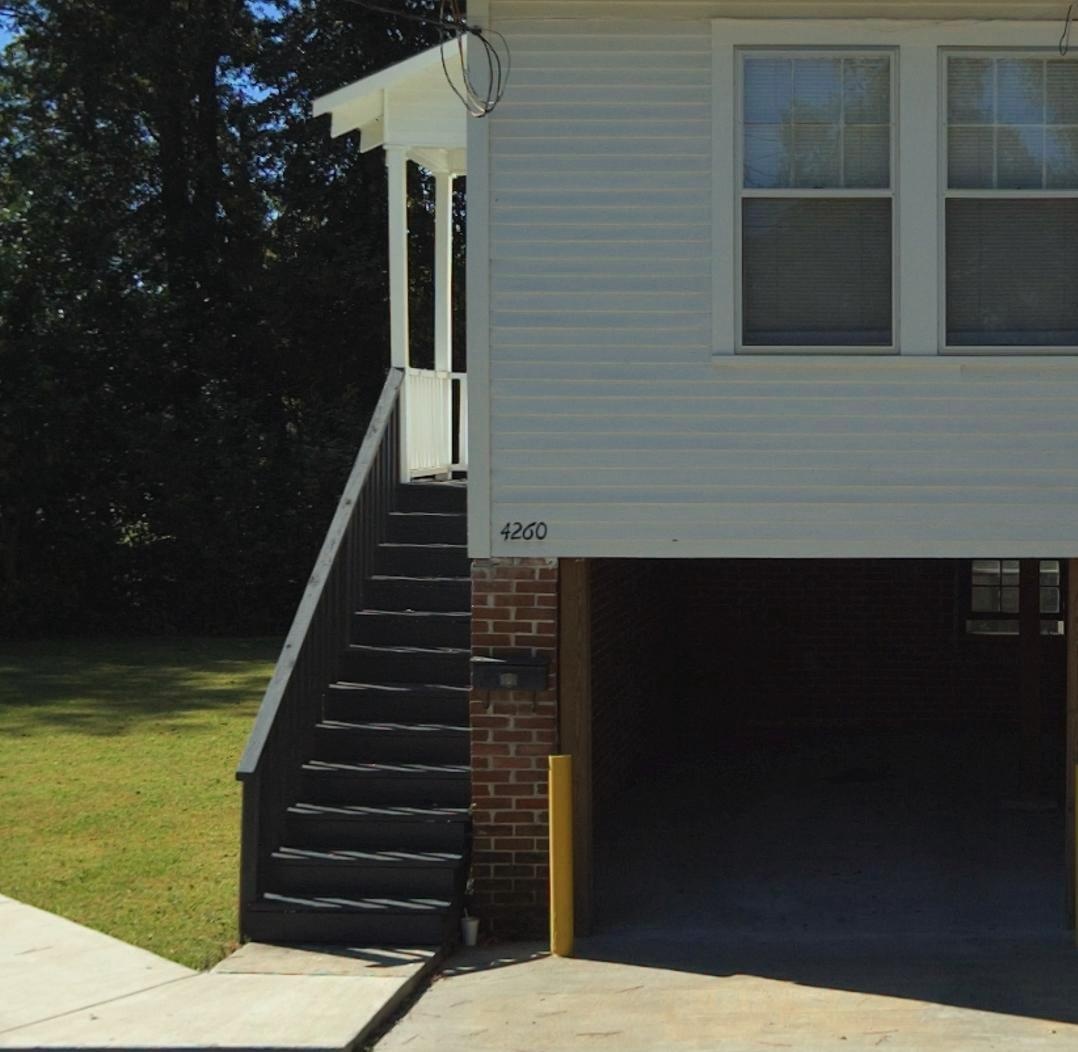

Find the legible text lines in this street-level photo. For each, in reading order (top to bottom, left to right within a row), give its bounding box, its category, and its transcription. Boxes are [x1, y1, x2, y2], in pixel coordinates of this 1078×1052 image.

[500, 521, 547, 540] StreetNumber: 4260